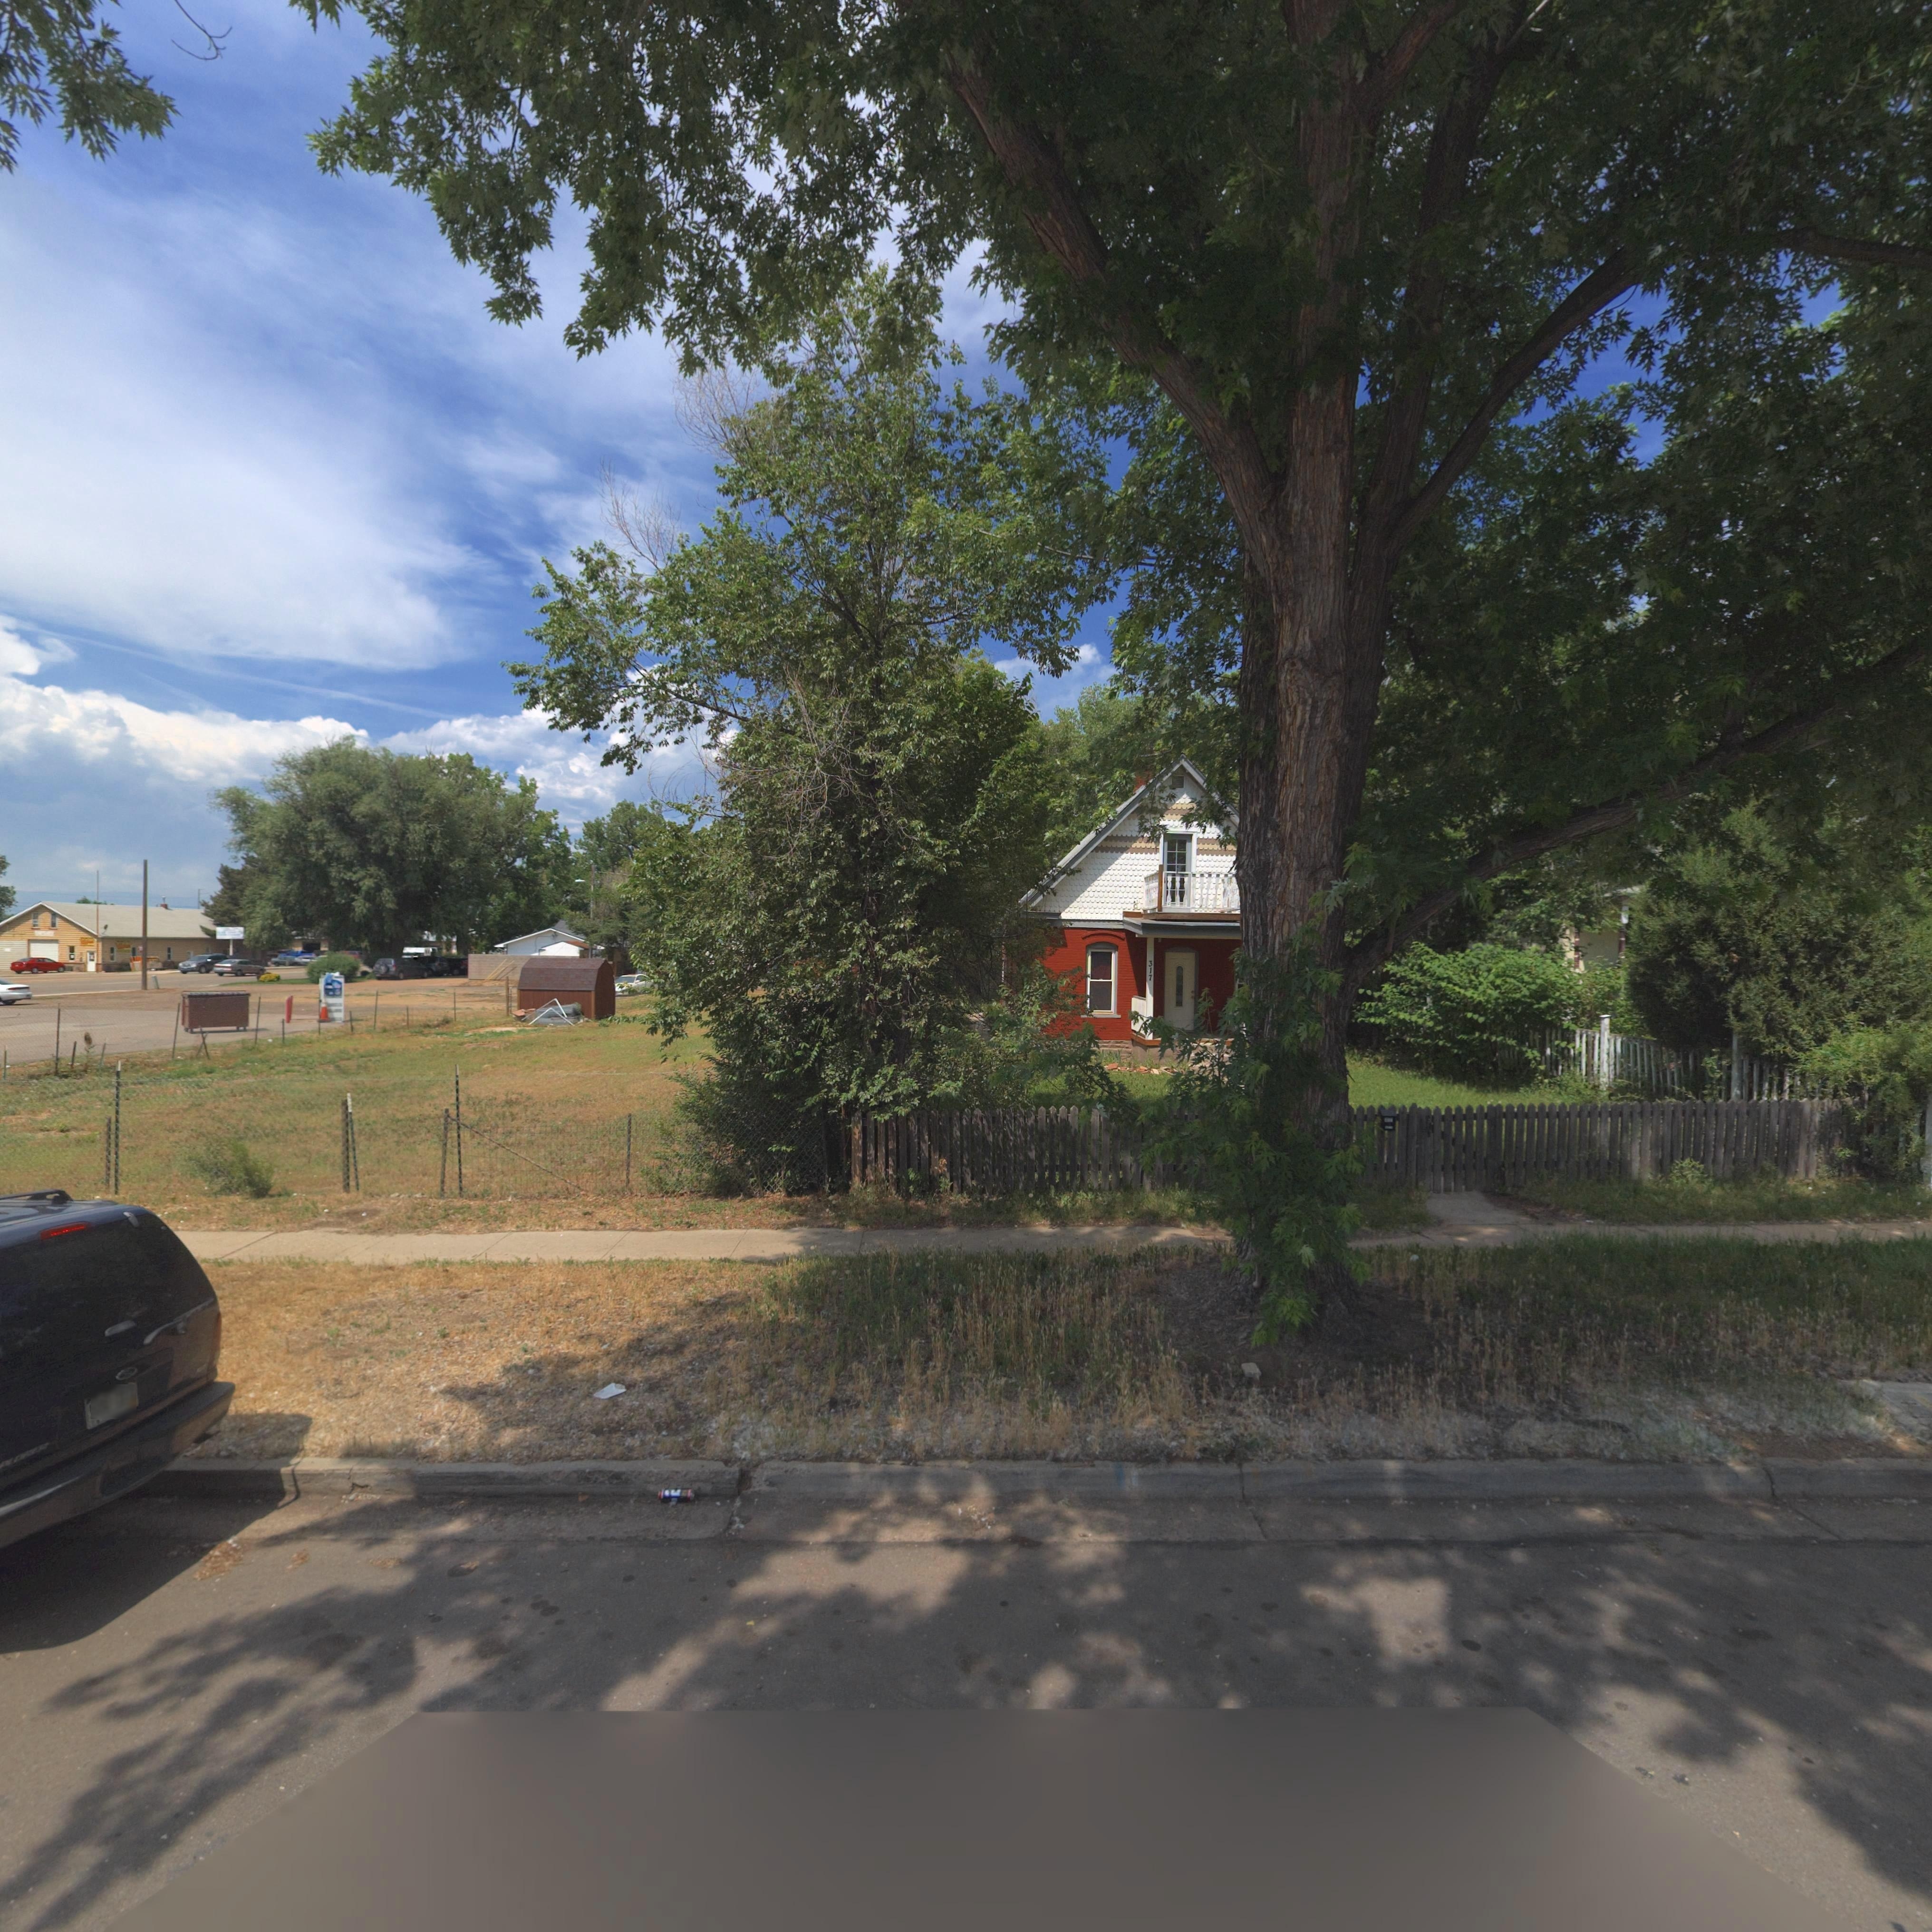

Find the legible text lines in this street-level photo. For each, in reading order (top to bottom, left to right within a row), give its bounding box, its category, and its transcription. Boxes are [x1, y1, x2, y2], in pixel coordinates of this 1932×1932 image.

[1148, 960, 1153, 981] StreetNumber: 317